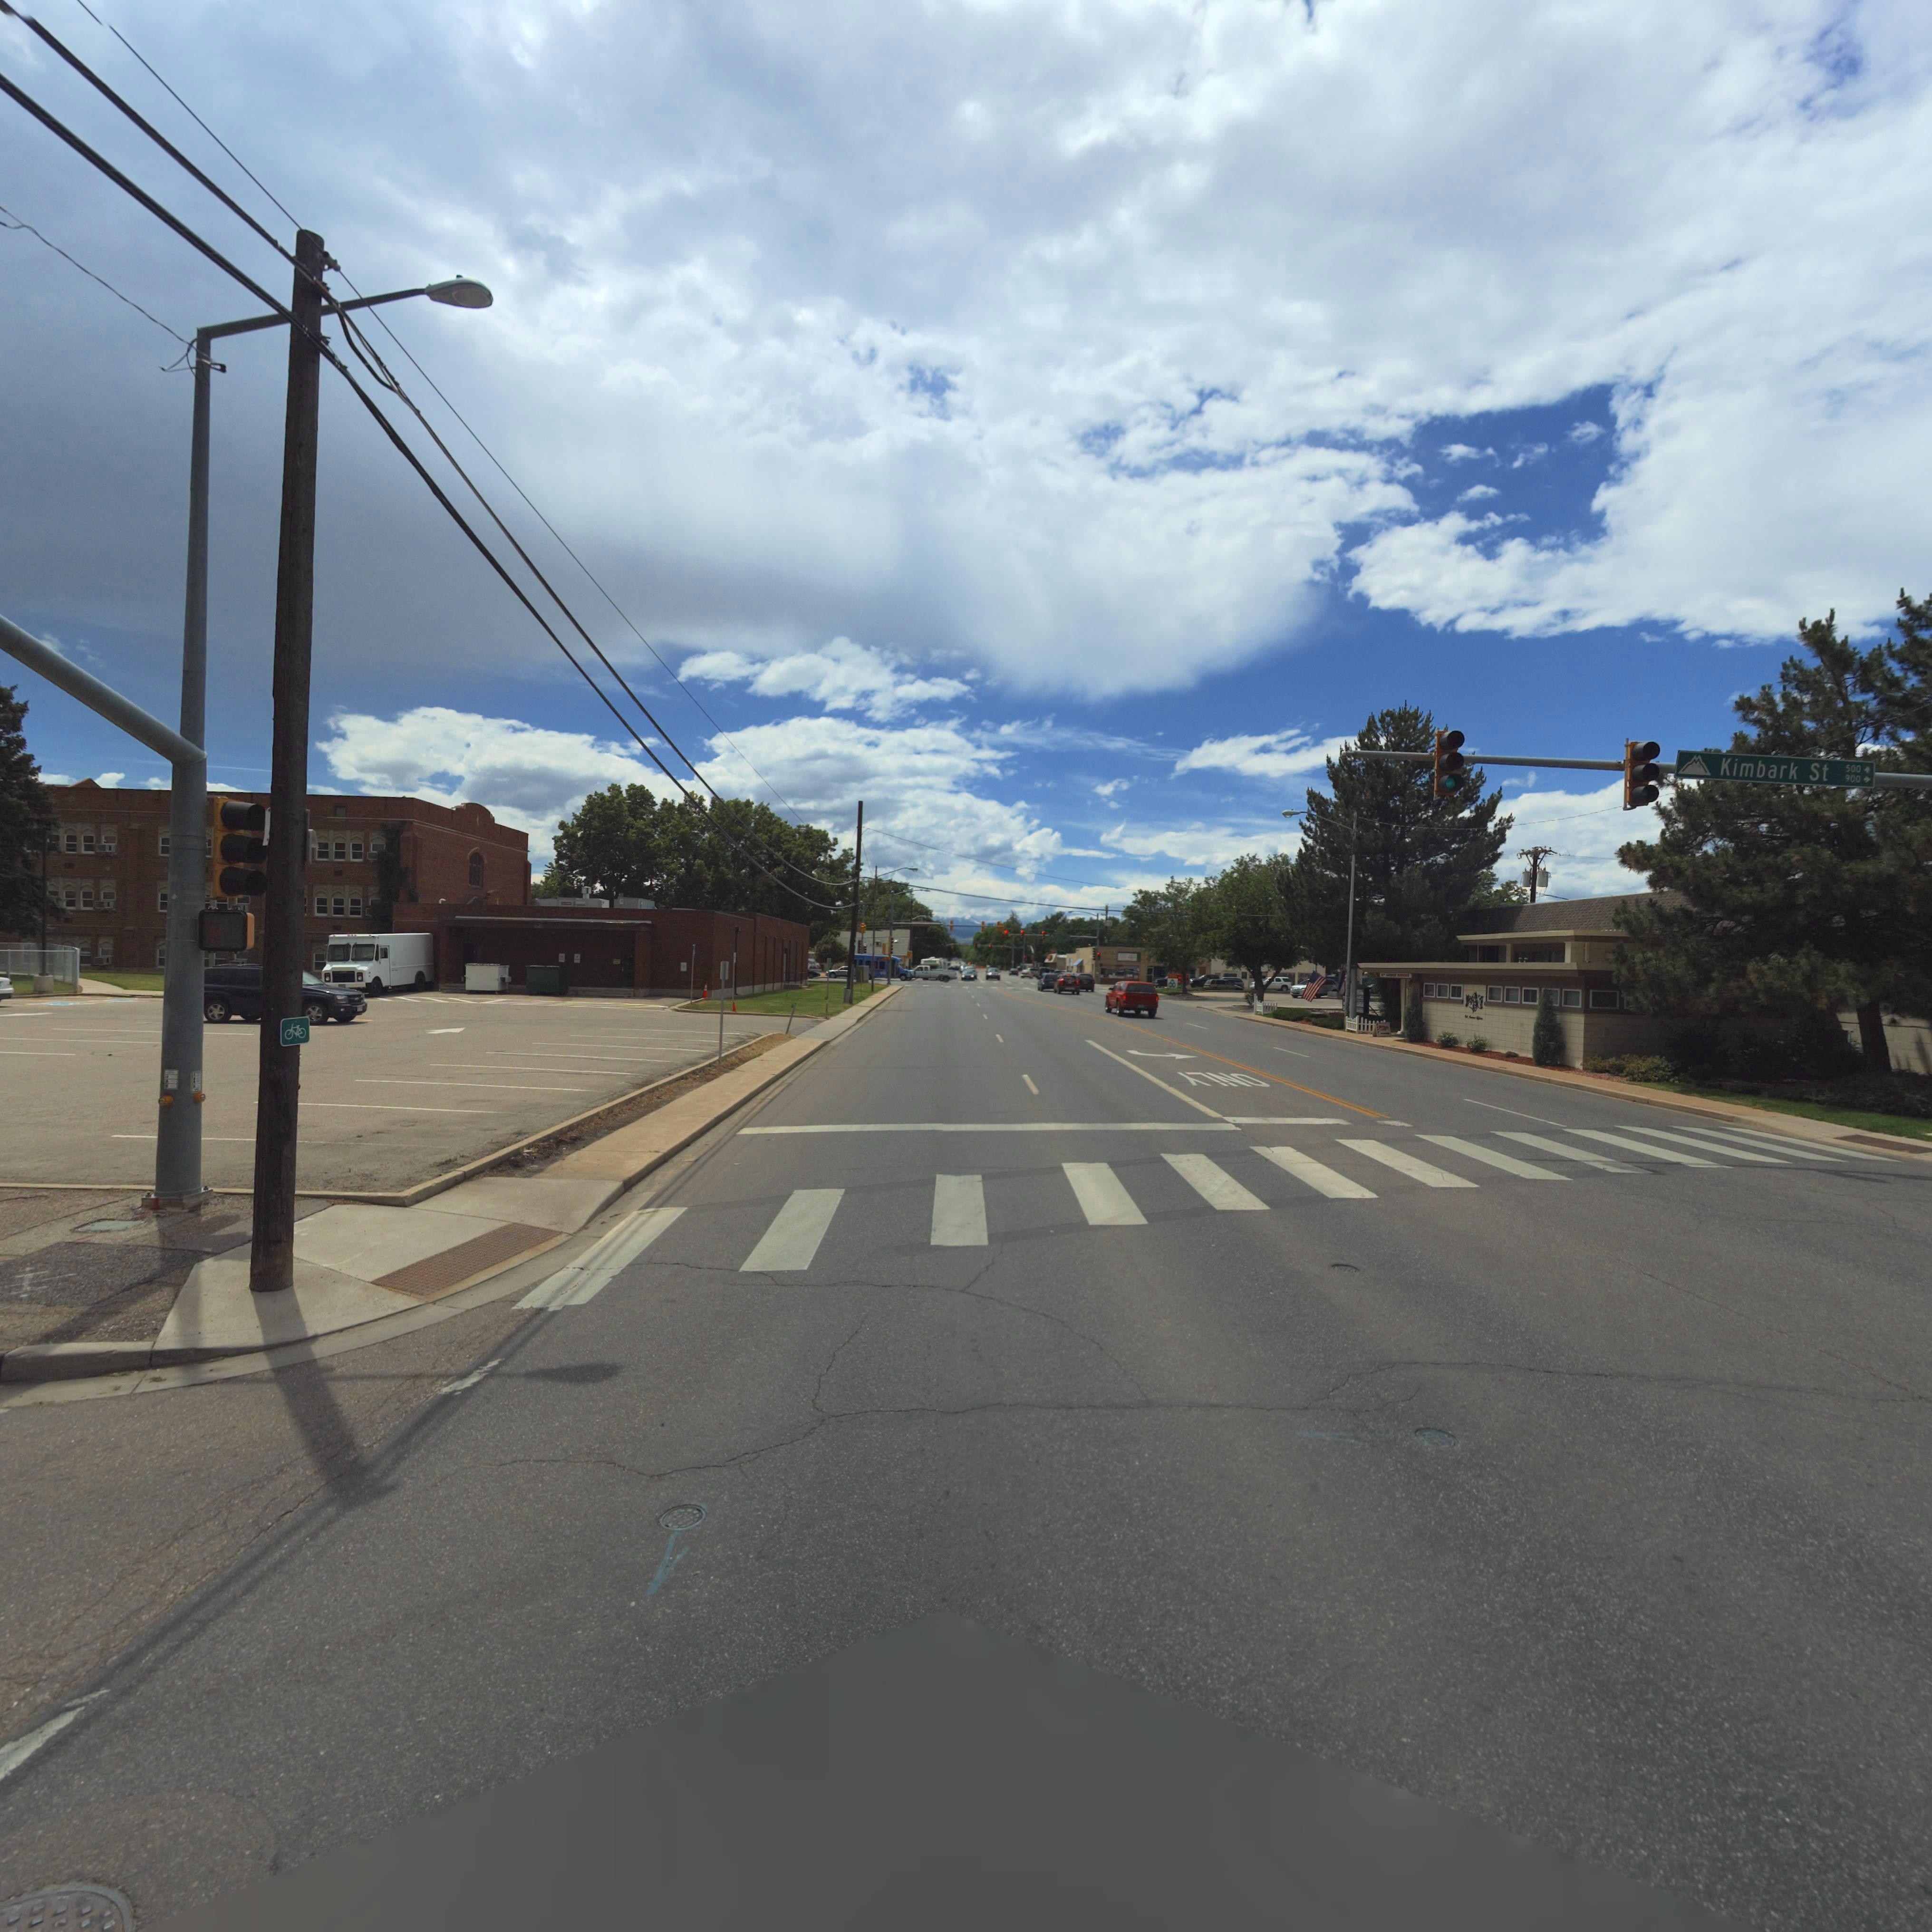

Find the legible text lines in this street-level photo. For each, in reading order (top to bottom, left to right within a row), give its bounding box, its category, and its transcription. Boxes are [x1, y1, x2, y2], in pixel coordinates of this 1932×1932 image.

[1719, 757, 1830, 782] BusinessName: Kimbark St
[1845, 763, 1861, 773] StreetNumberRange: 500
[1845, 773, 1871, 783] StreetNumberRange: 900->